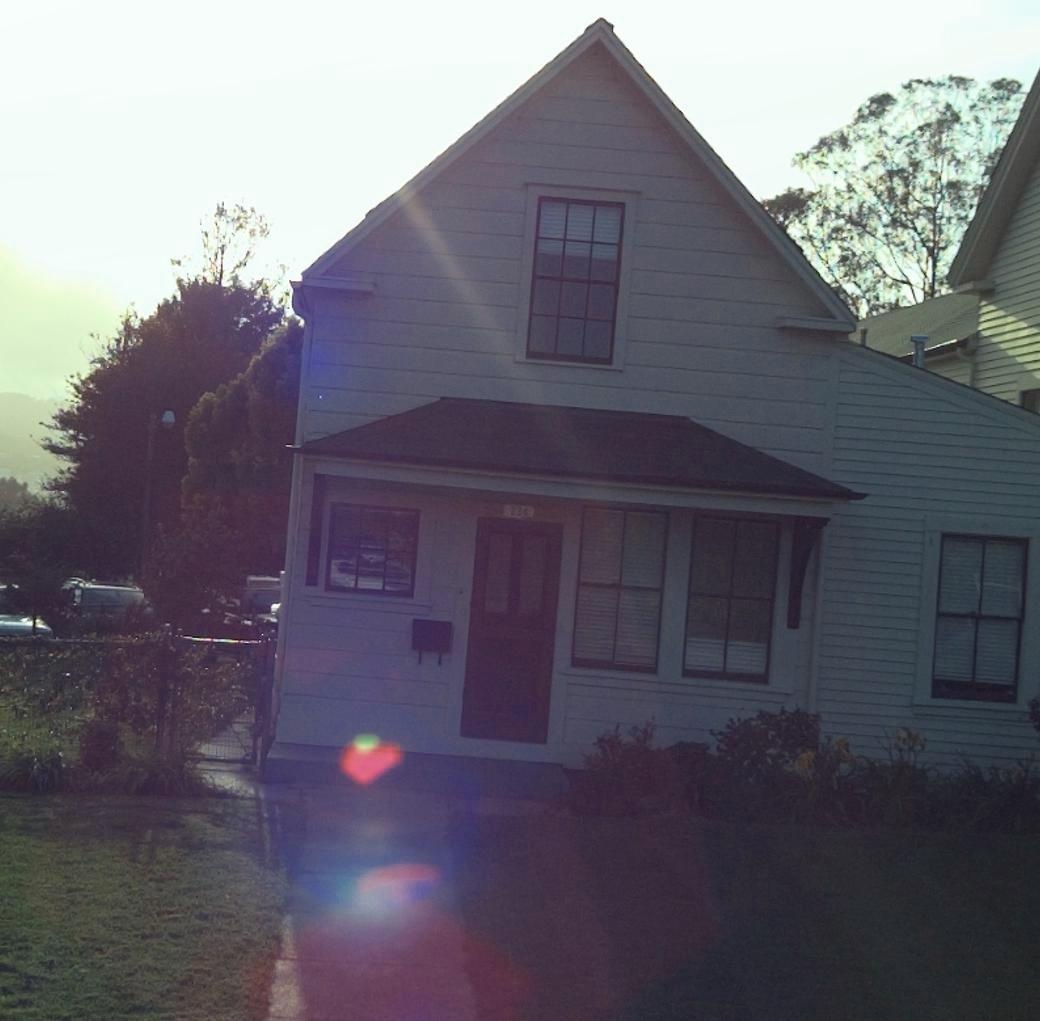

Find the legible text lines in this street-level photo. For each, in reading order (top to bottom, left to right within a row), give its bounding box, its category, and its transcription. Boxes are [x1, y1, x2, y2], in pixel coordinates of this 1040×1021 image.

[507, 505, 530, 518] StreetNumber: 234